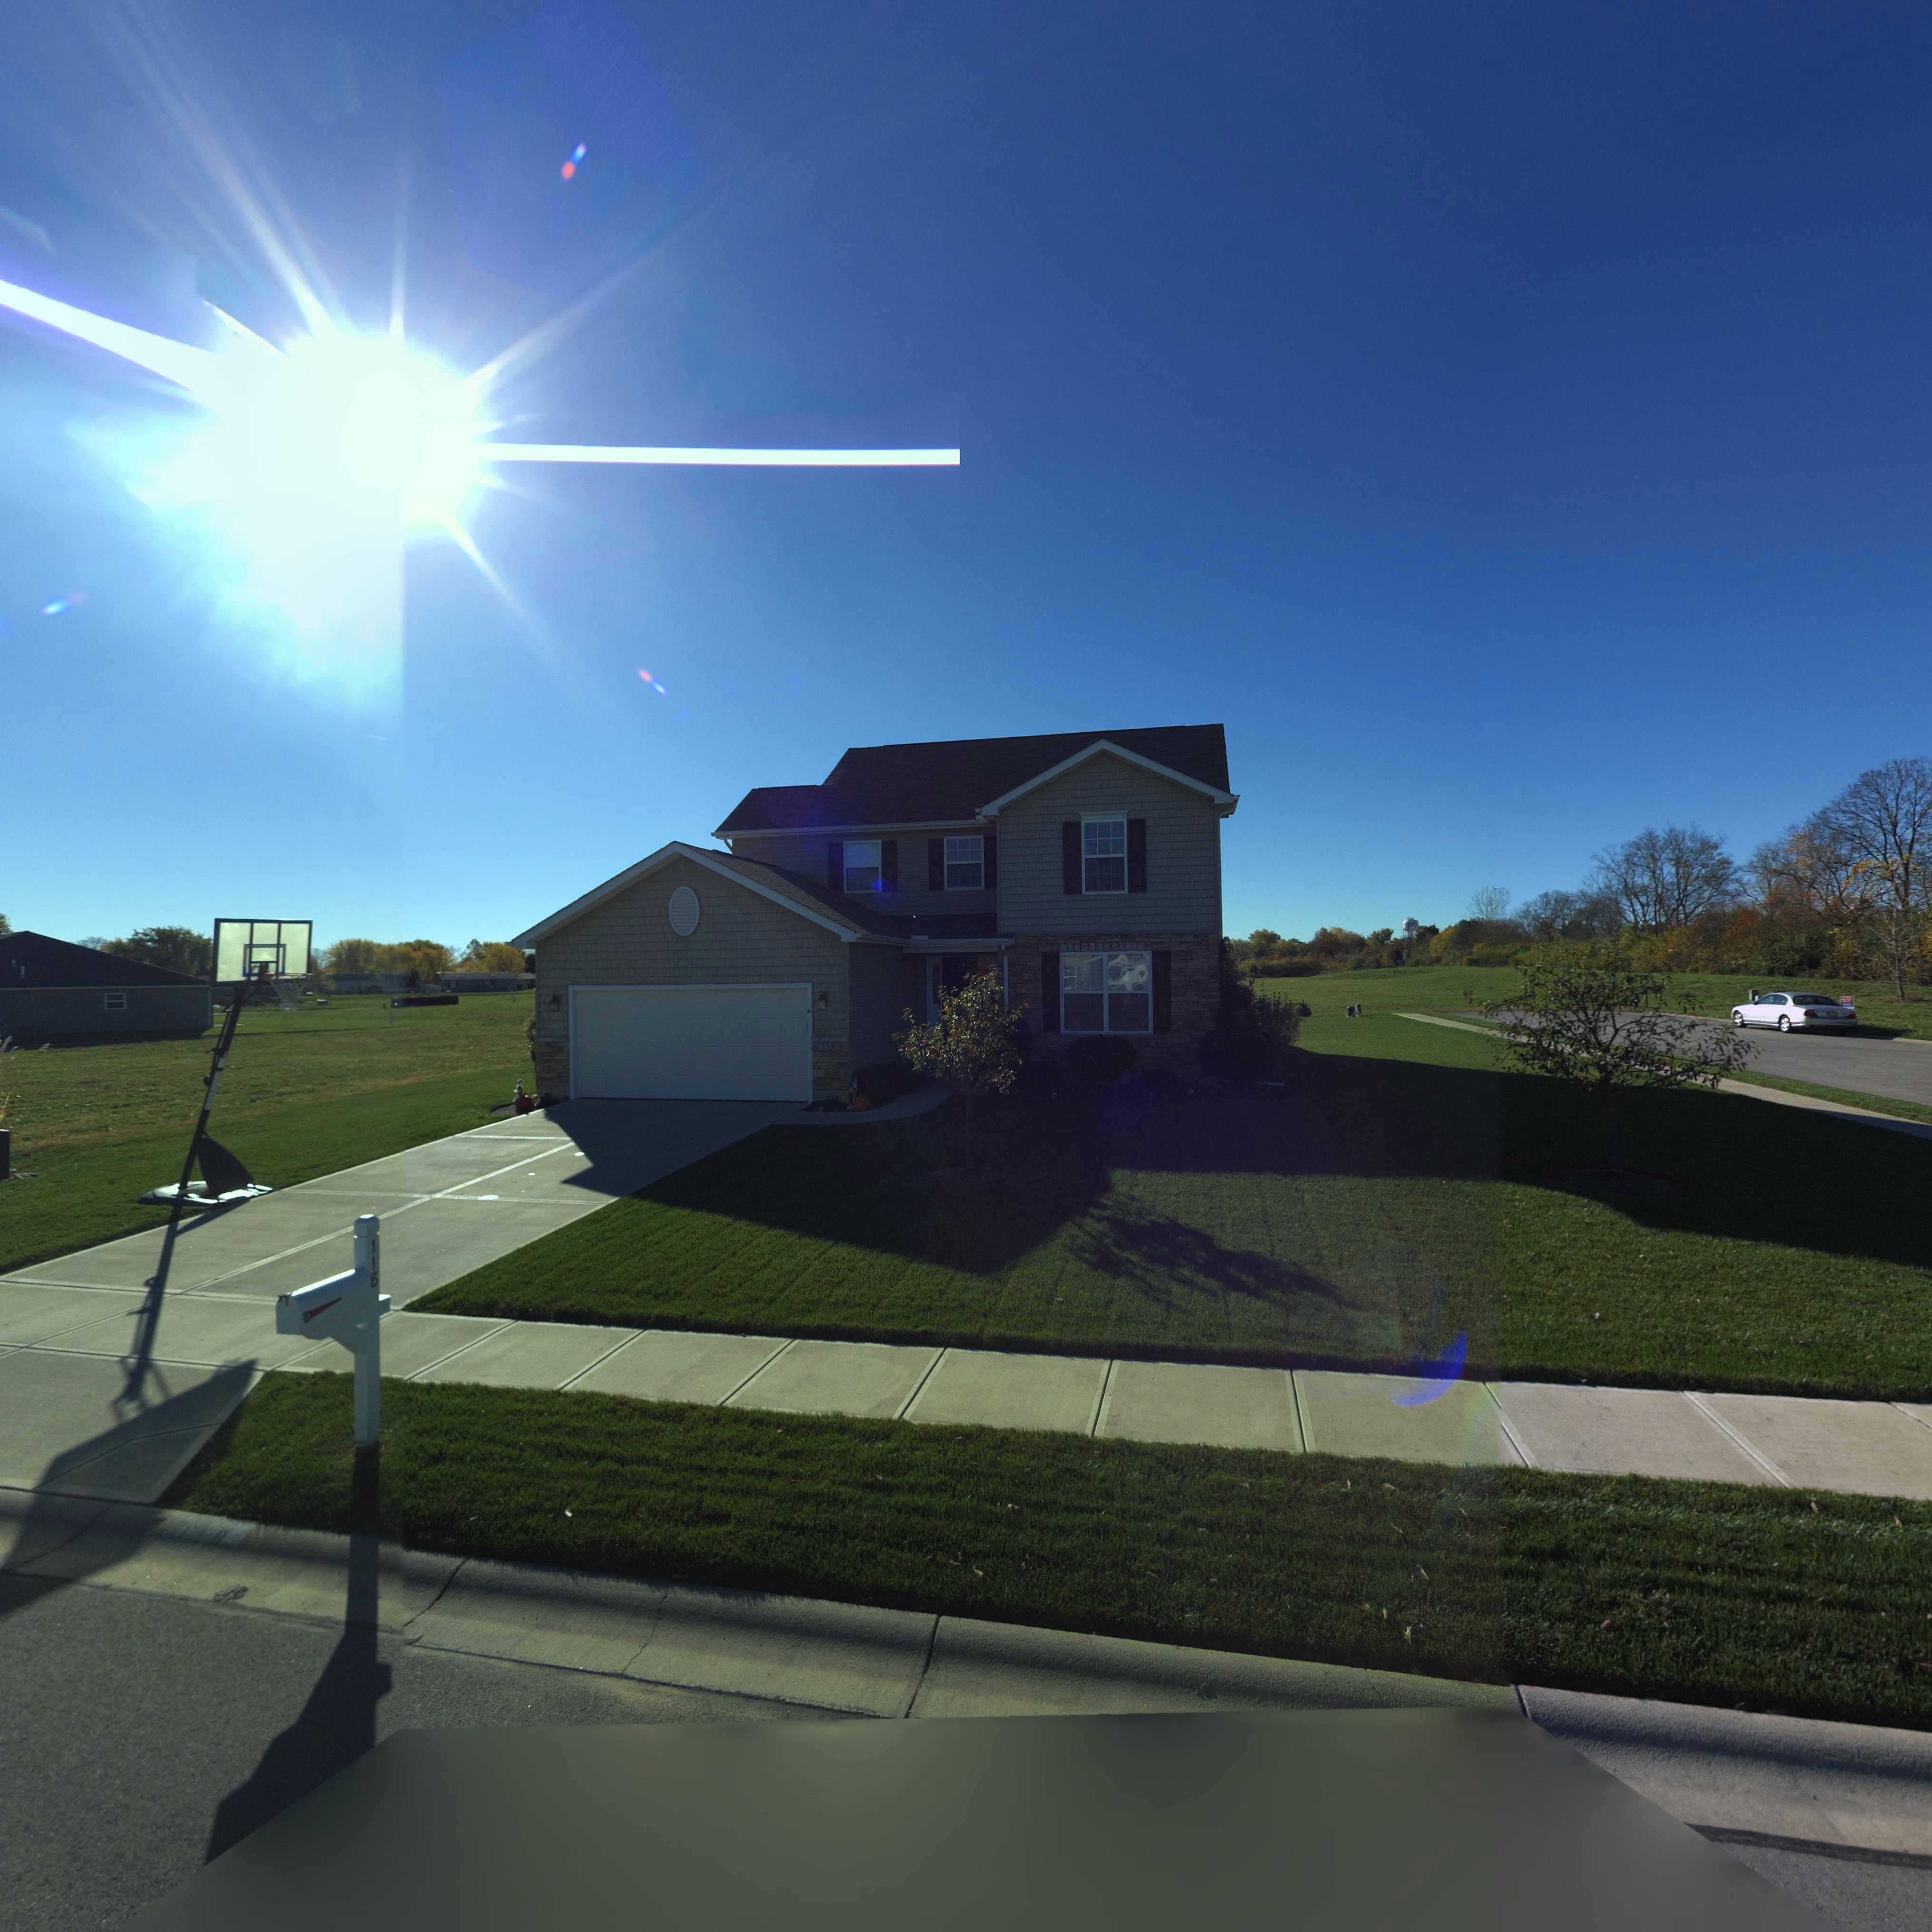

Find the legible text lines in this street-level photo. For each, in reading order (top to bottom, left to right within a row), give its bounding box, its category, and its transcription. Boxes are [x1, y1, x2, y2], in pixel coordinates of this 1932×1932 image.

[821, 1043, 837, 1050] StreetNumber: 118
[368, 1236, 379, 1289] StreetNumber: 118